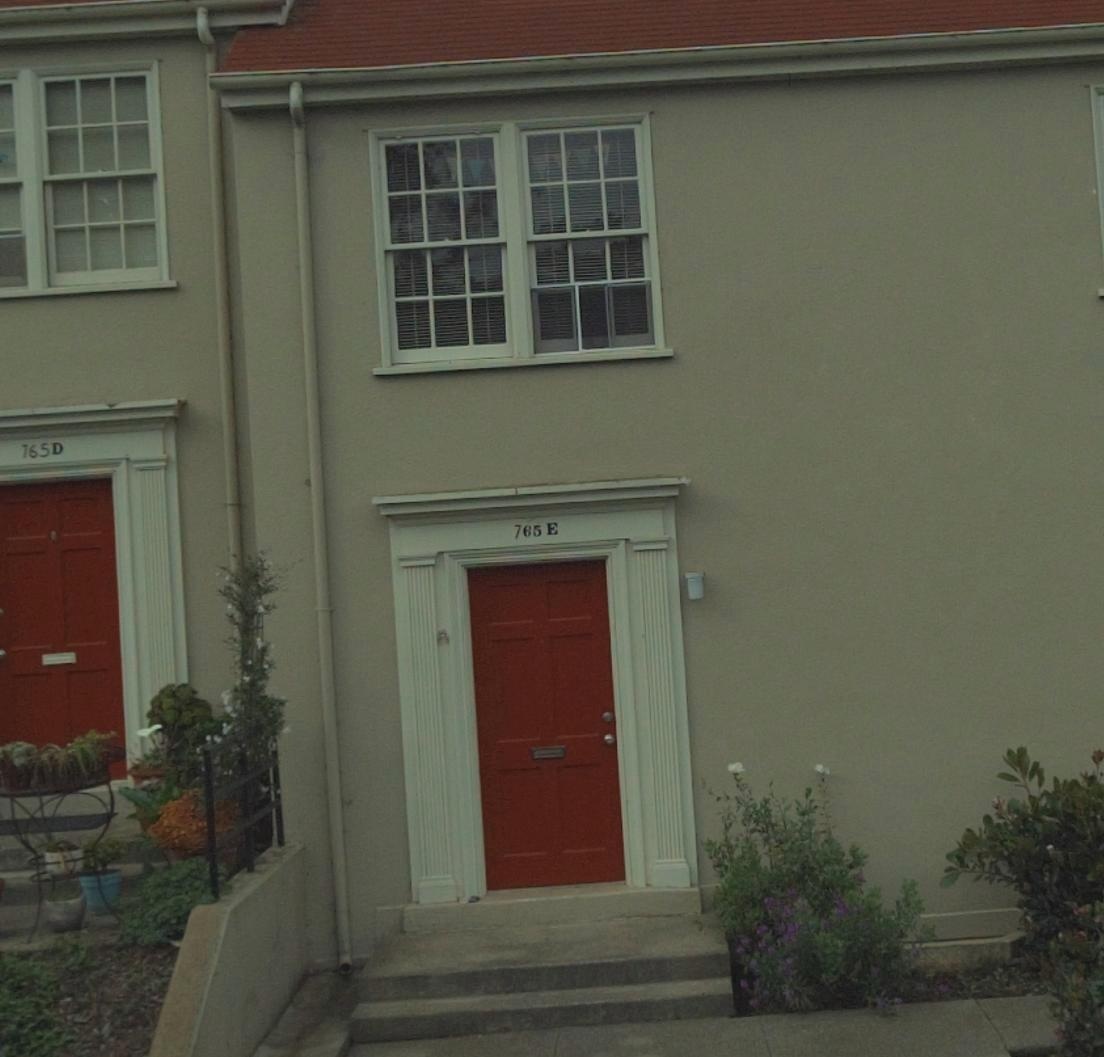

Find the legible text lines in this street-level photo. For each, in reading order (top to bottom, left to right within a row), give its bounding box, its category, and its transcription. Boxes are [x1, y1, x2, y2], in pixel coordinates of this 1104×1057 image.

[21, 441, 65, 460] StreetNumber: 765D
[514, 521, 559, 540] StreetNumber: 765 E